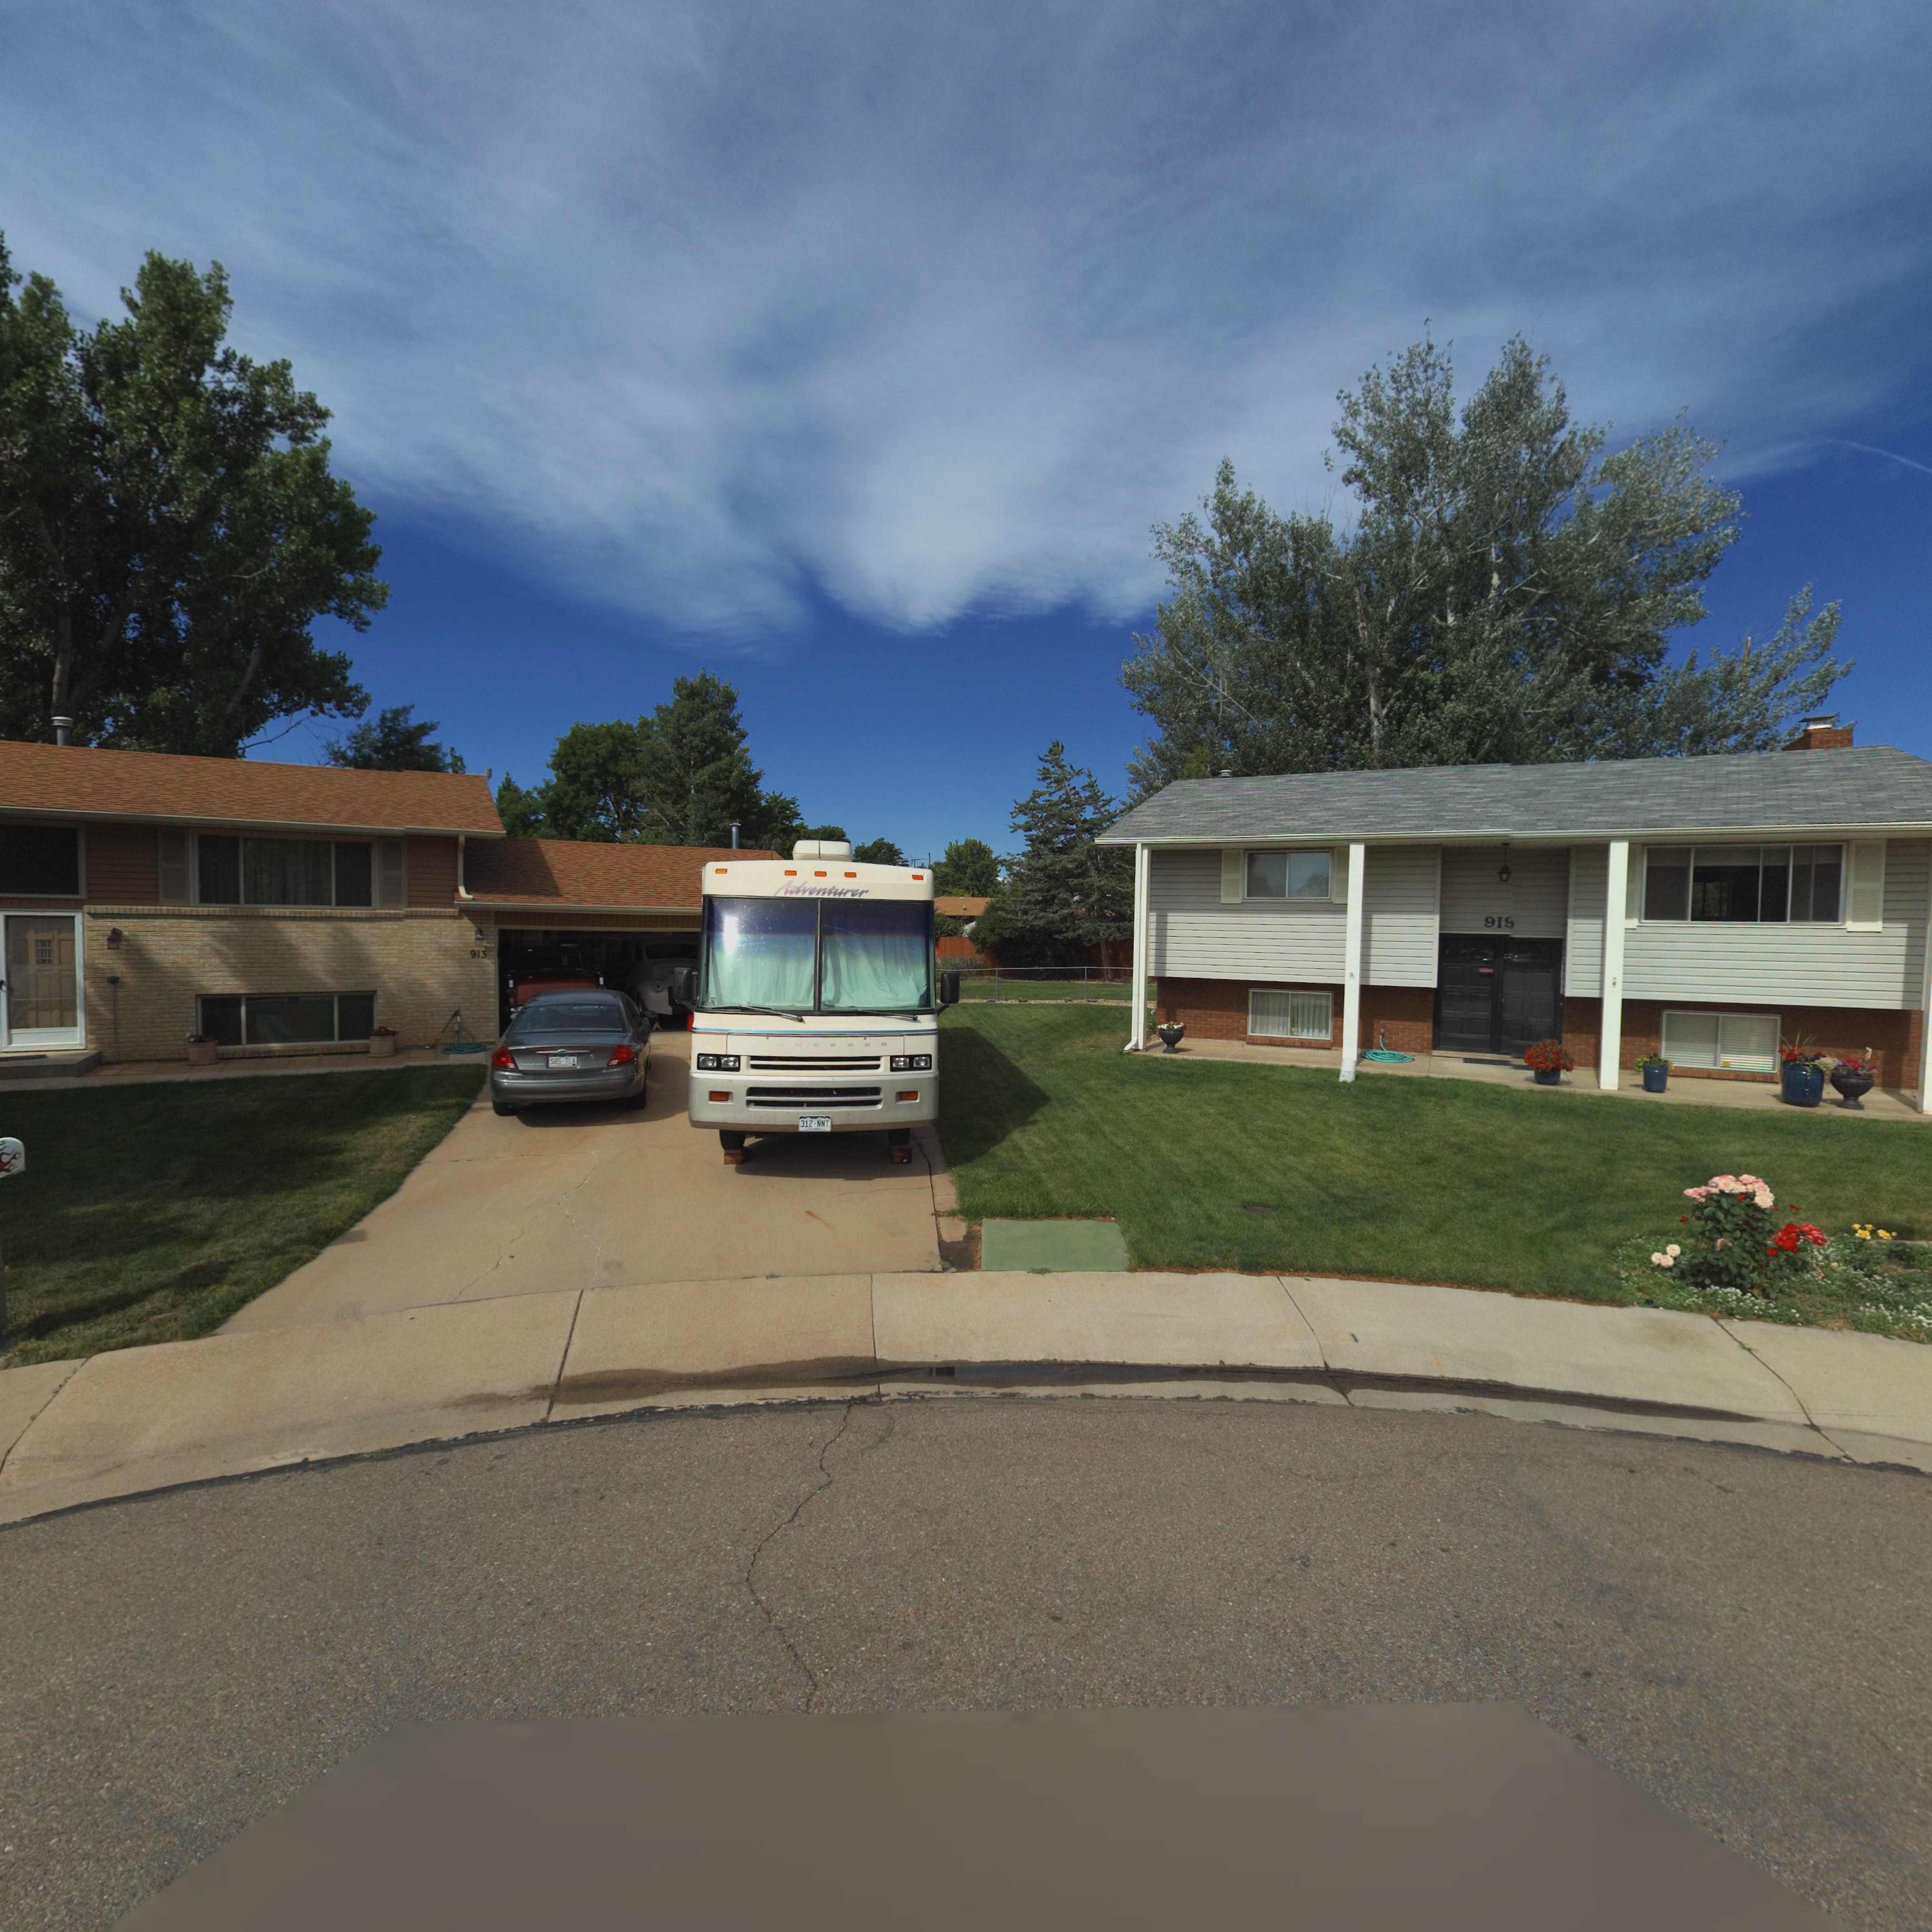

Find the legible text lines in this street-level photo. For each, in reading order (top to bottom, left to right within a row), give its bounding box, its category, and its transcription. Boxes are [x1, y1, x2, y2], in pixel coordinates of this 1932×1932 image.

[1482, 915, 1514, 928] StreetNumber: 919
[470, 949, 486, 958] StreetNumber: 913